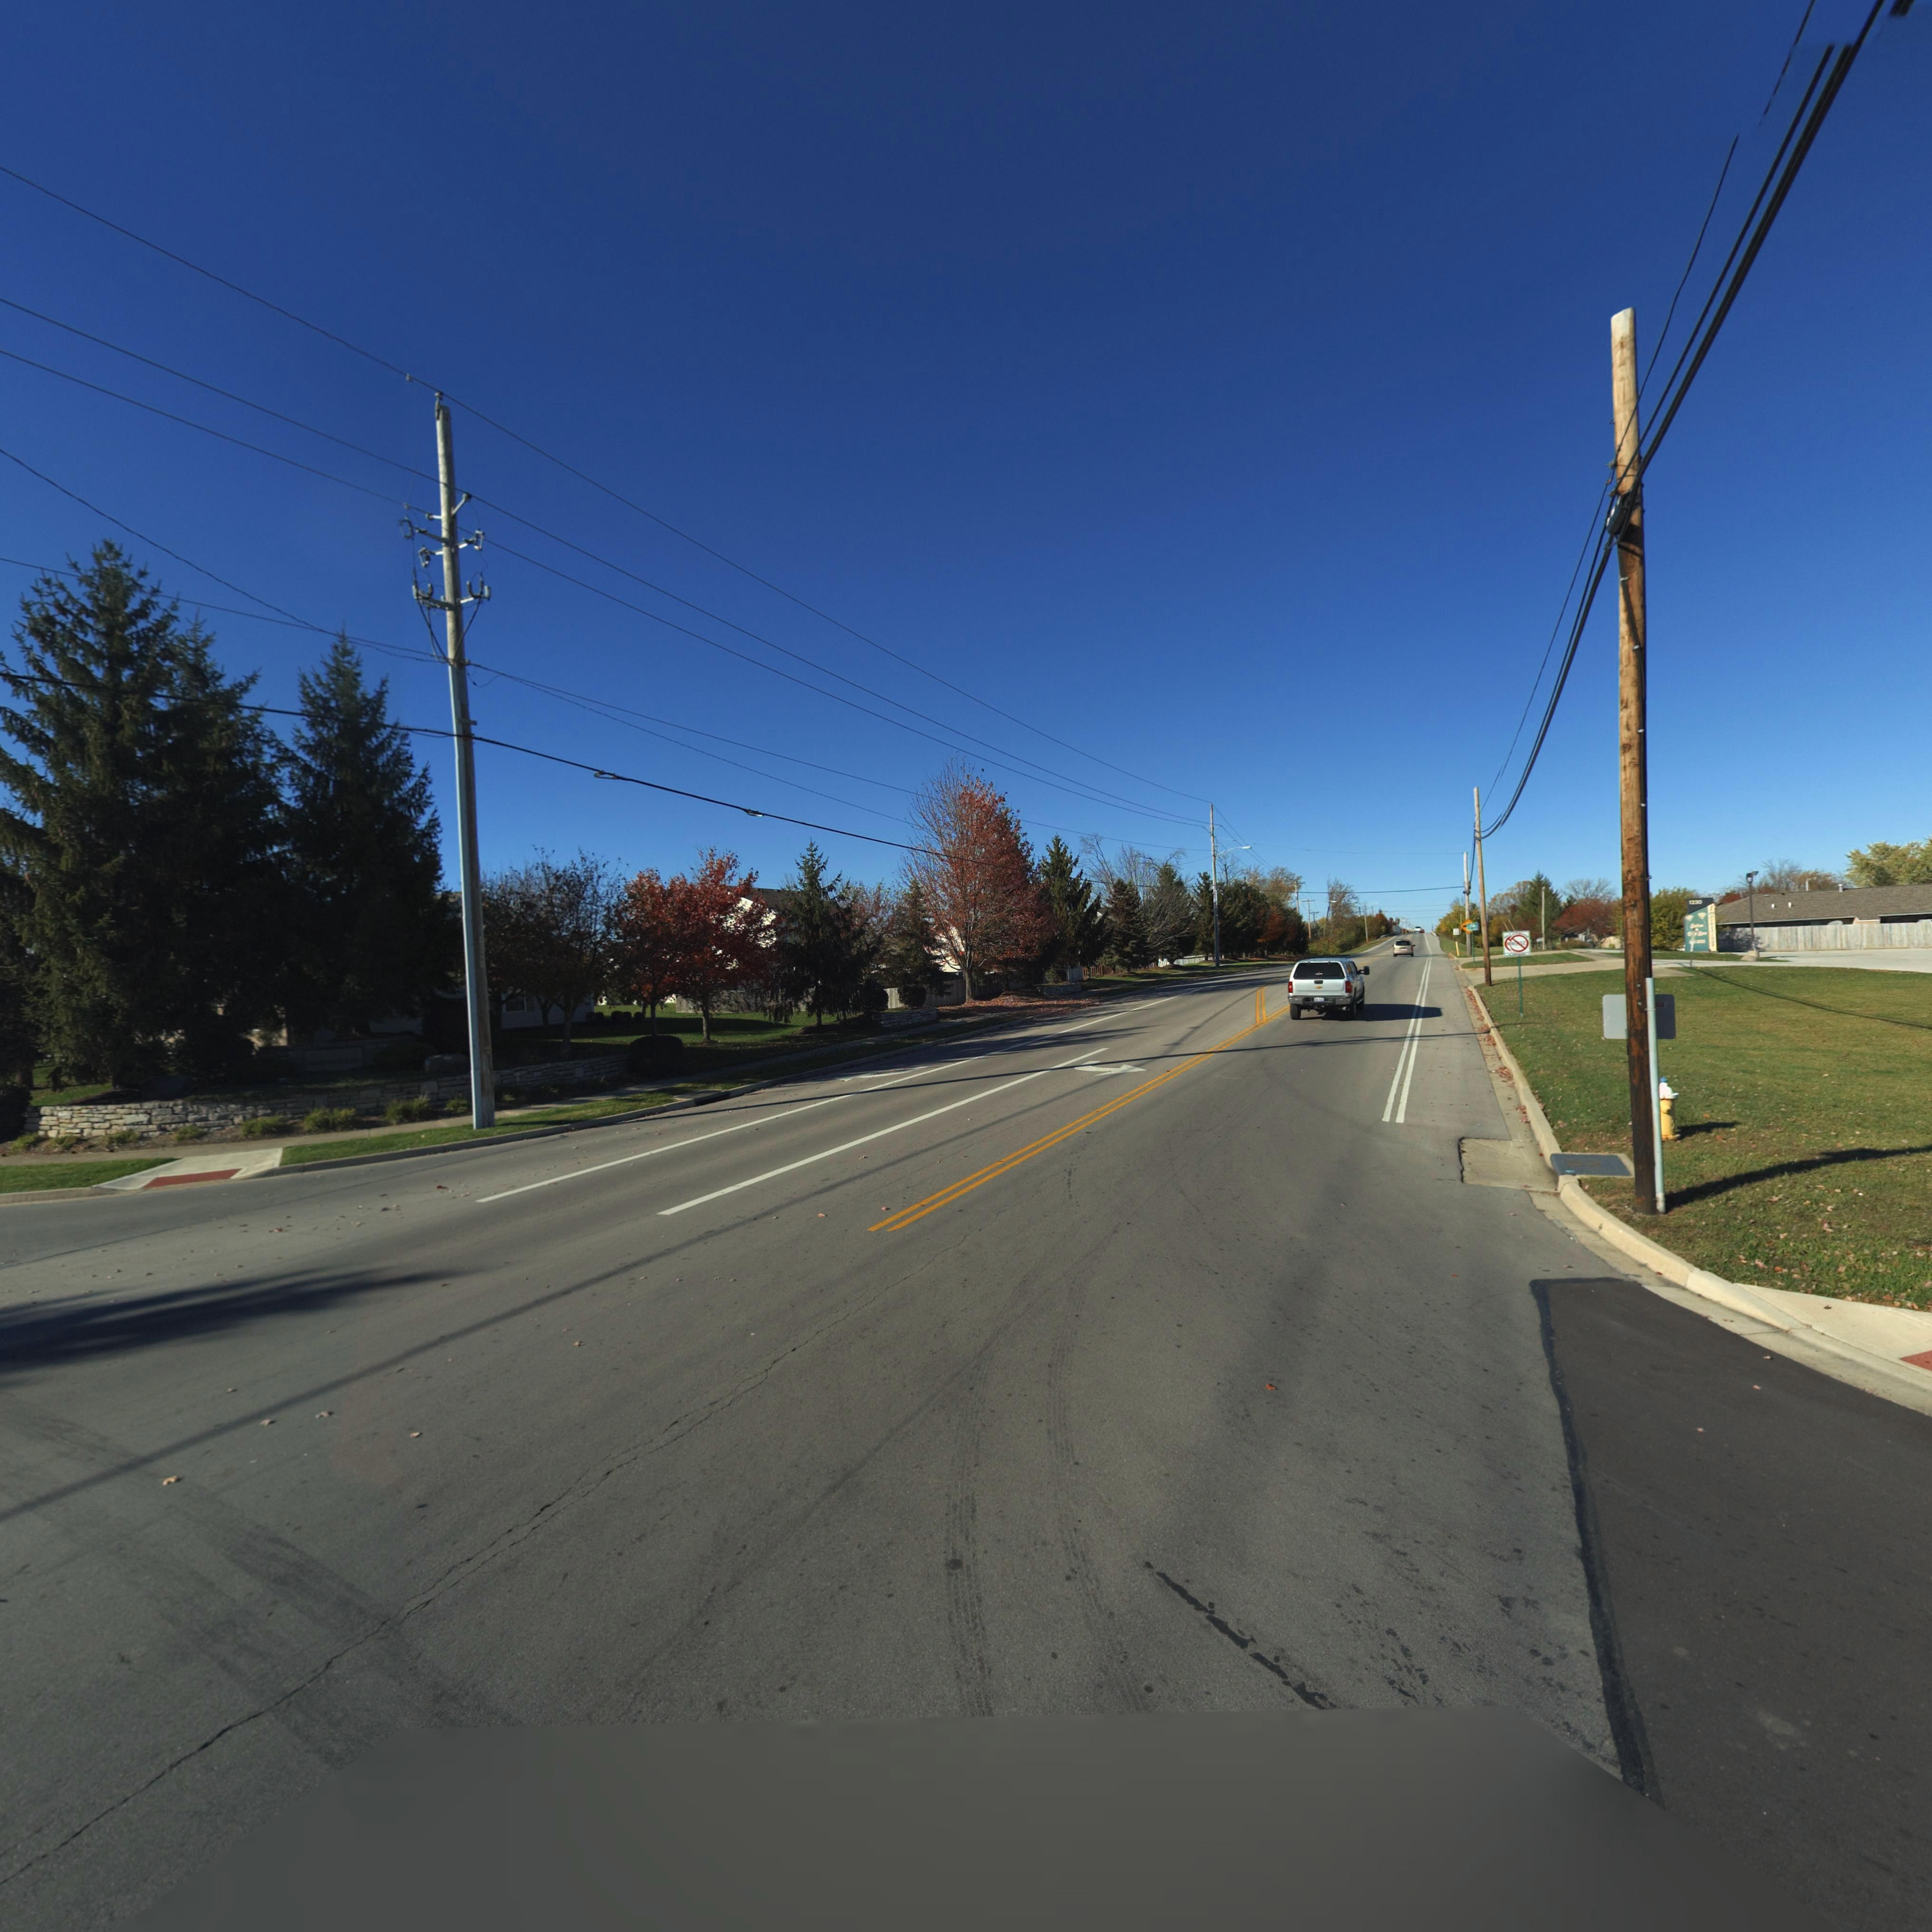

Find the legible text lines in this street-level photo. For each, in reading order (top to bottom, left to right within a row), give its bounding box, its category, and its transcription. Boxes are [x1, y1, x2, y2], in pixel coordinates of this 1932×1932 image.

[1689, 899, 1703, 905] StreetNumber: 1230